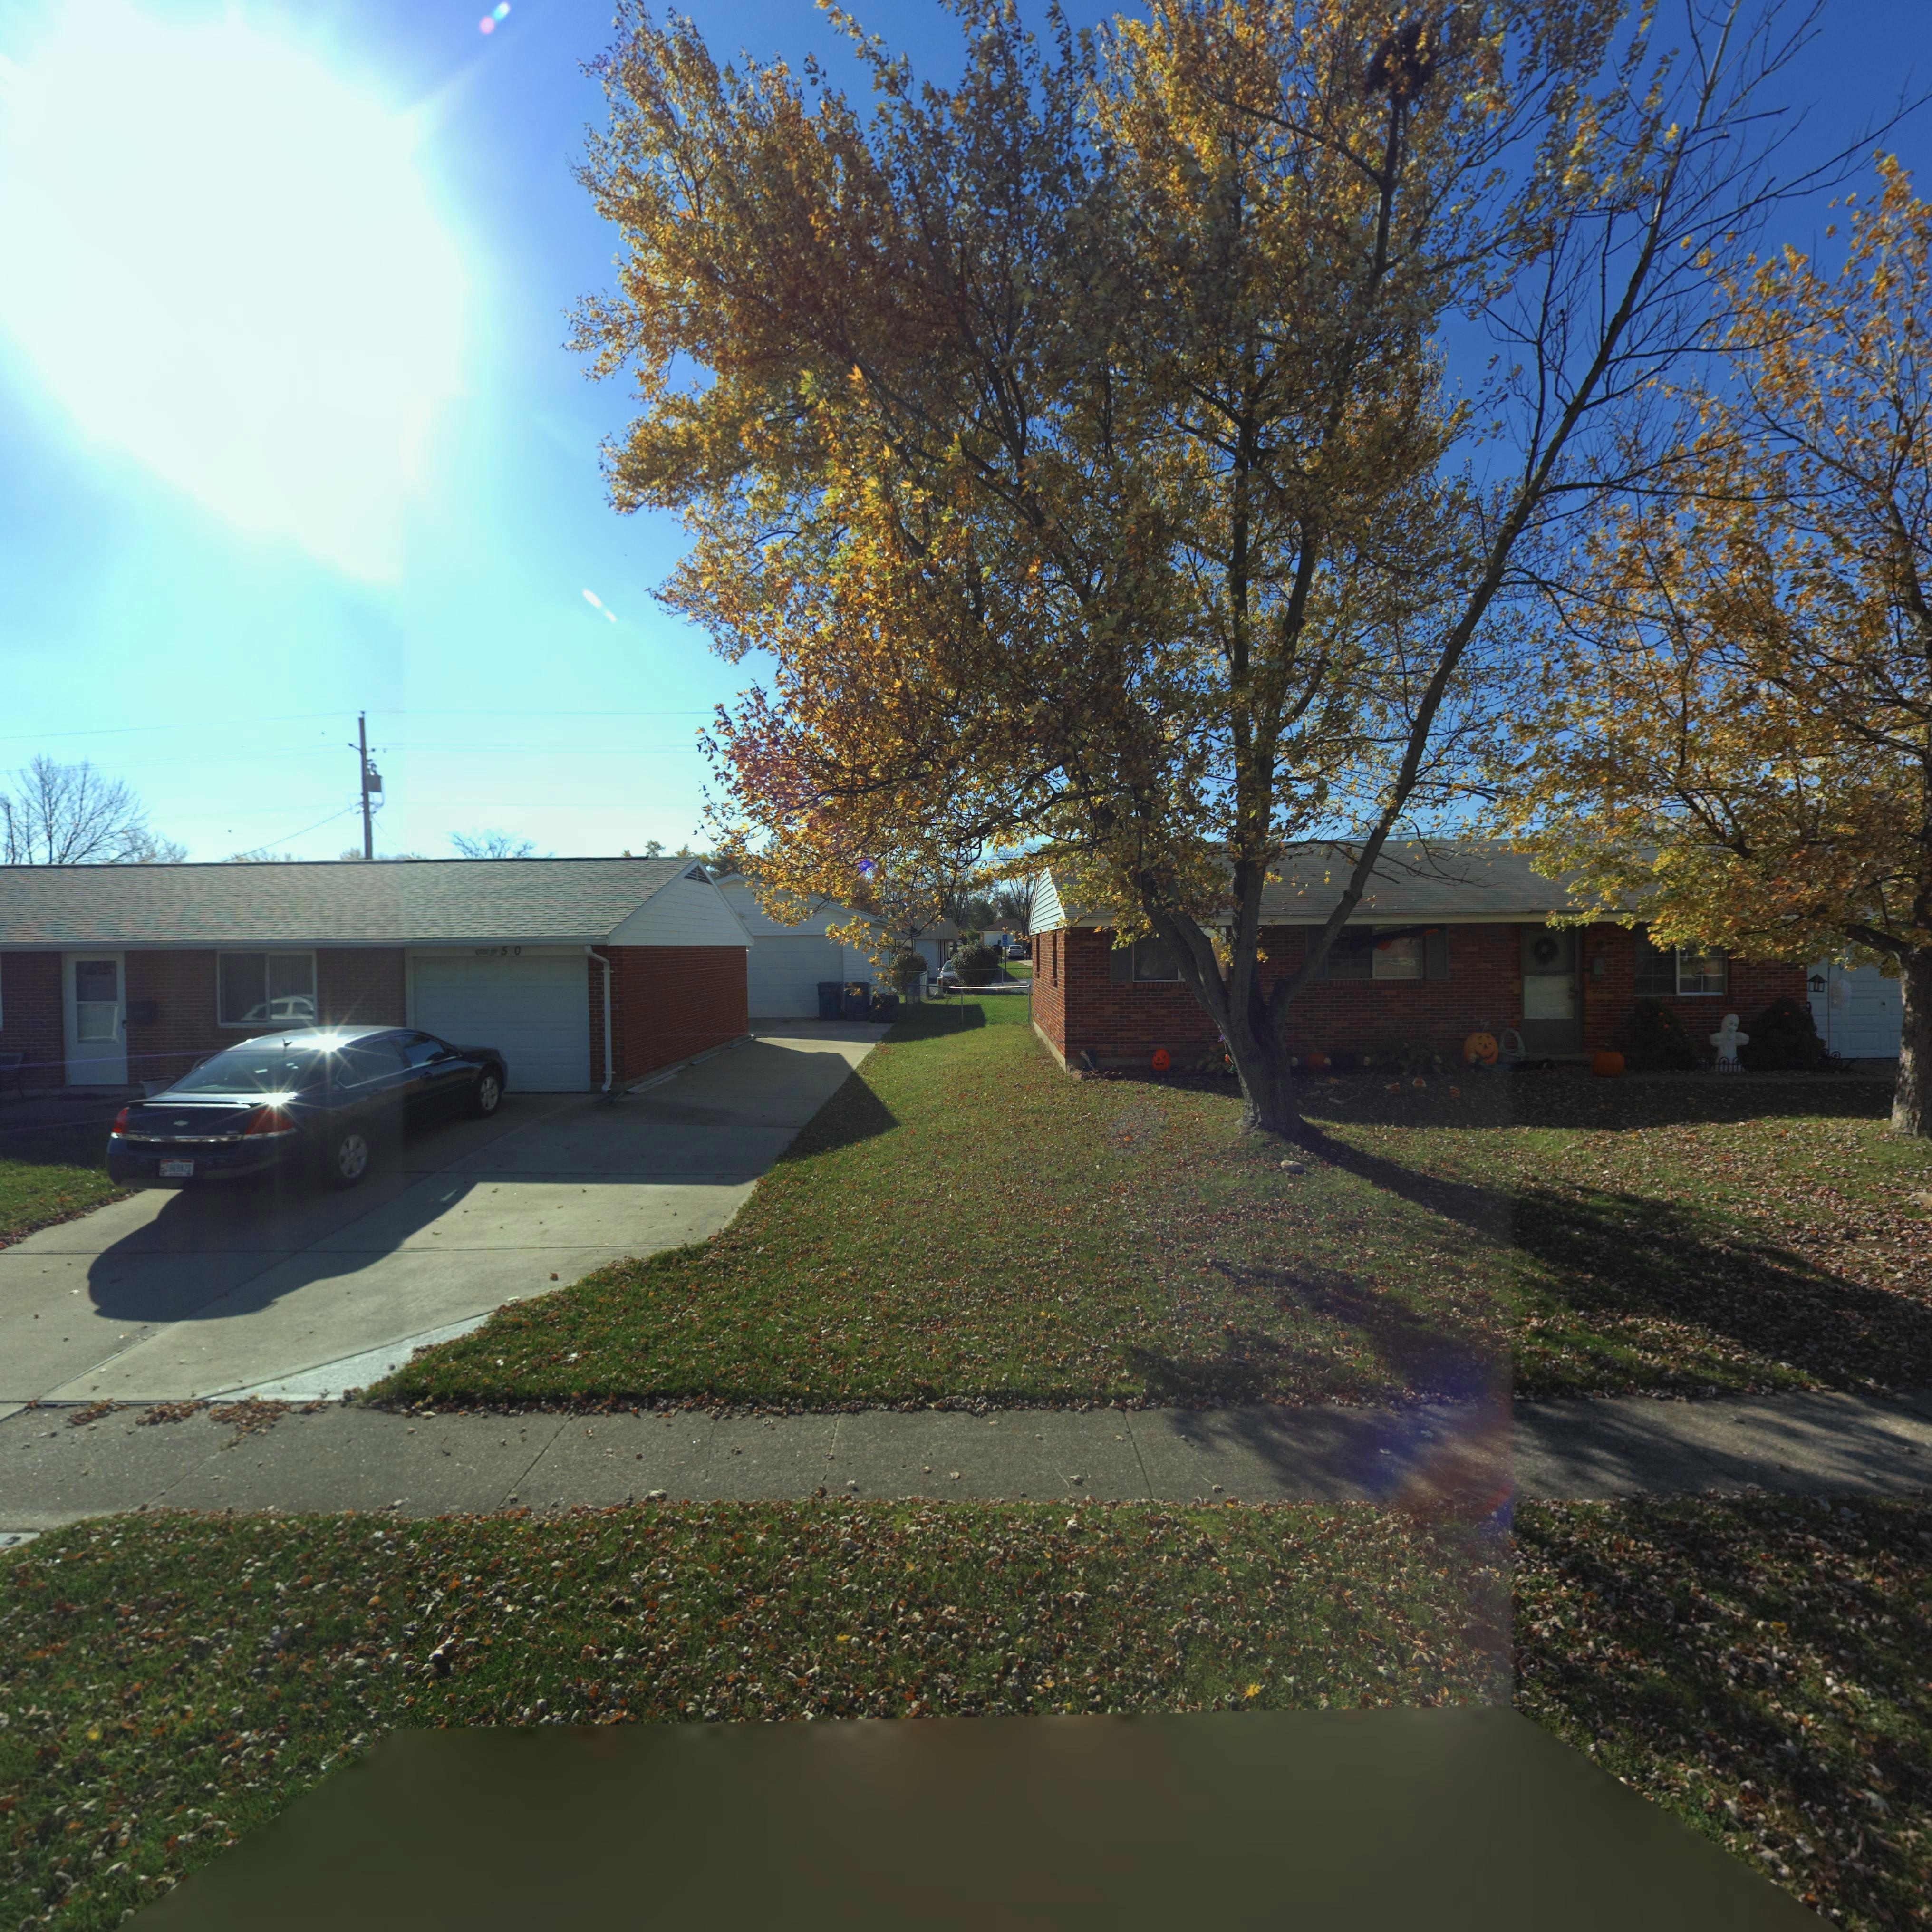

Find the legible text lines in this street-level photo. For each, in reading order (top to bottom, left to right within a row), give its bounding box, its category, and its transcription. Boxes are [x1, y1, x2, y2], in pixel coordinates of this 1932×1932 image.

[500, 945, 522, 956] StreetNumber: 50